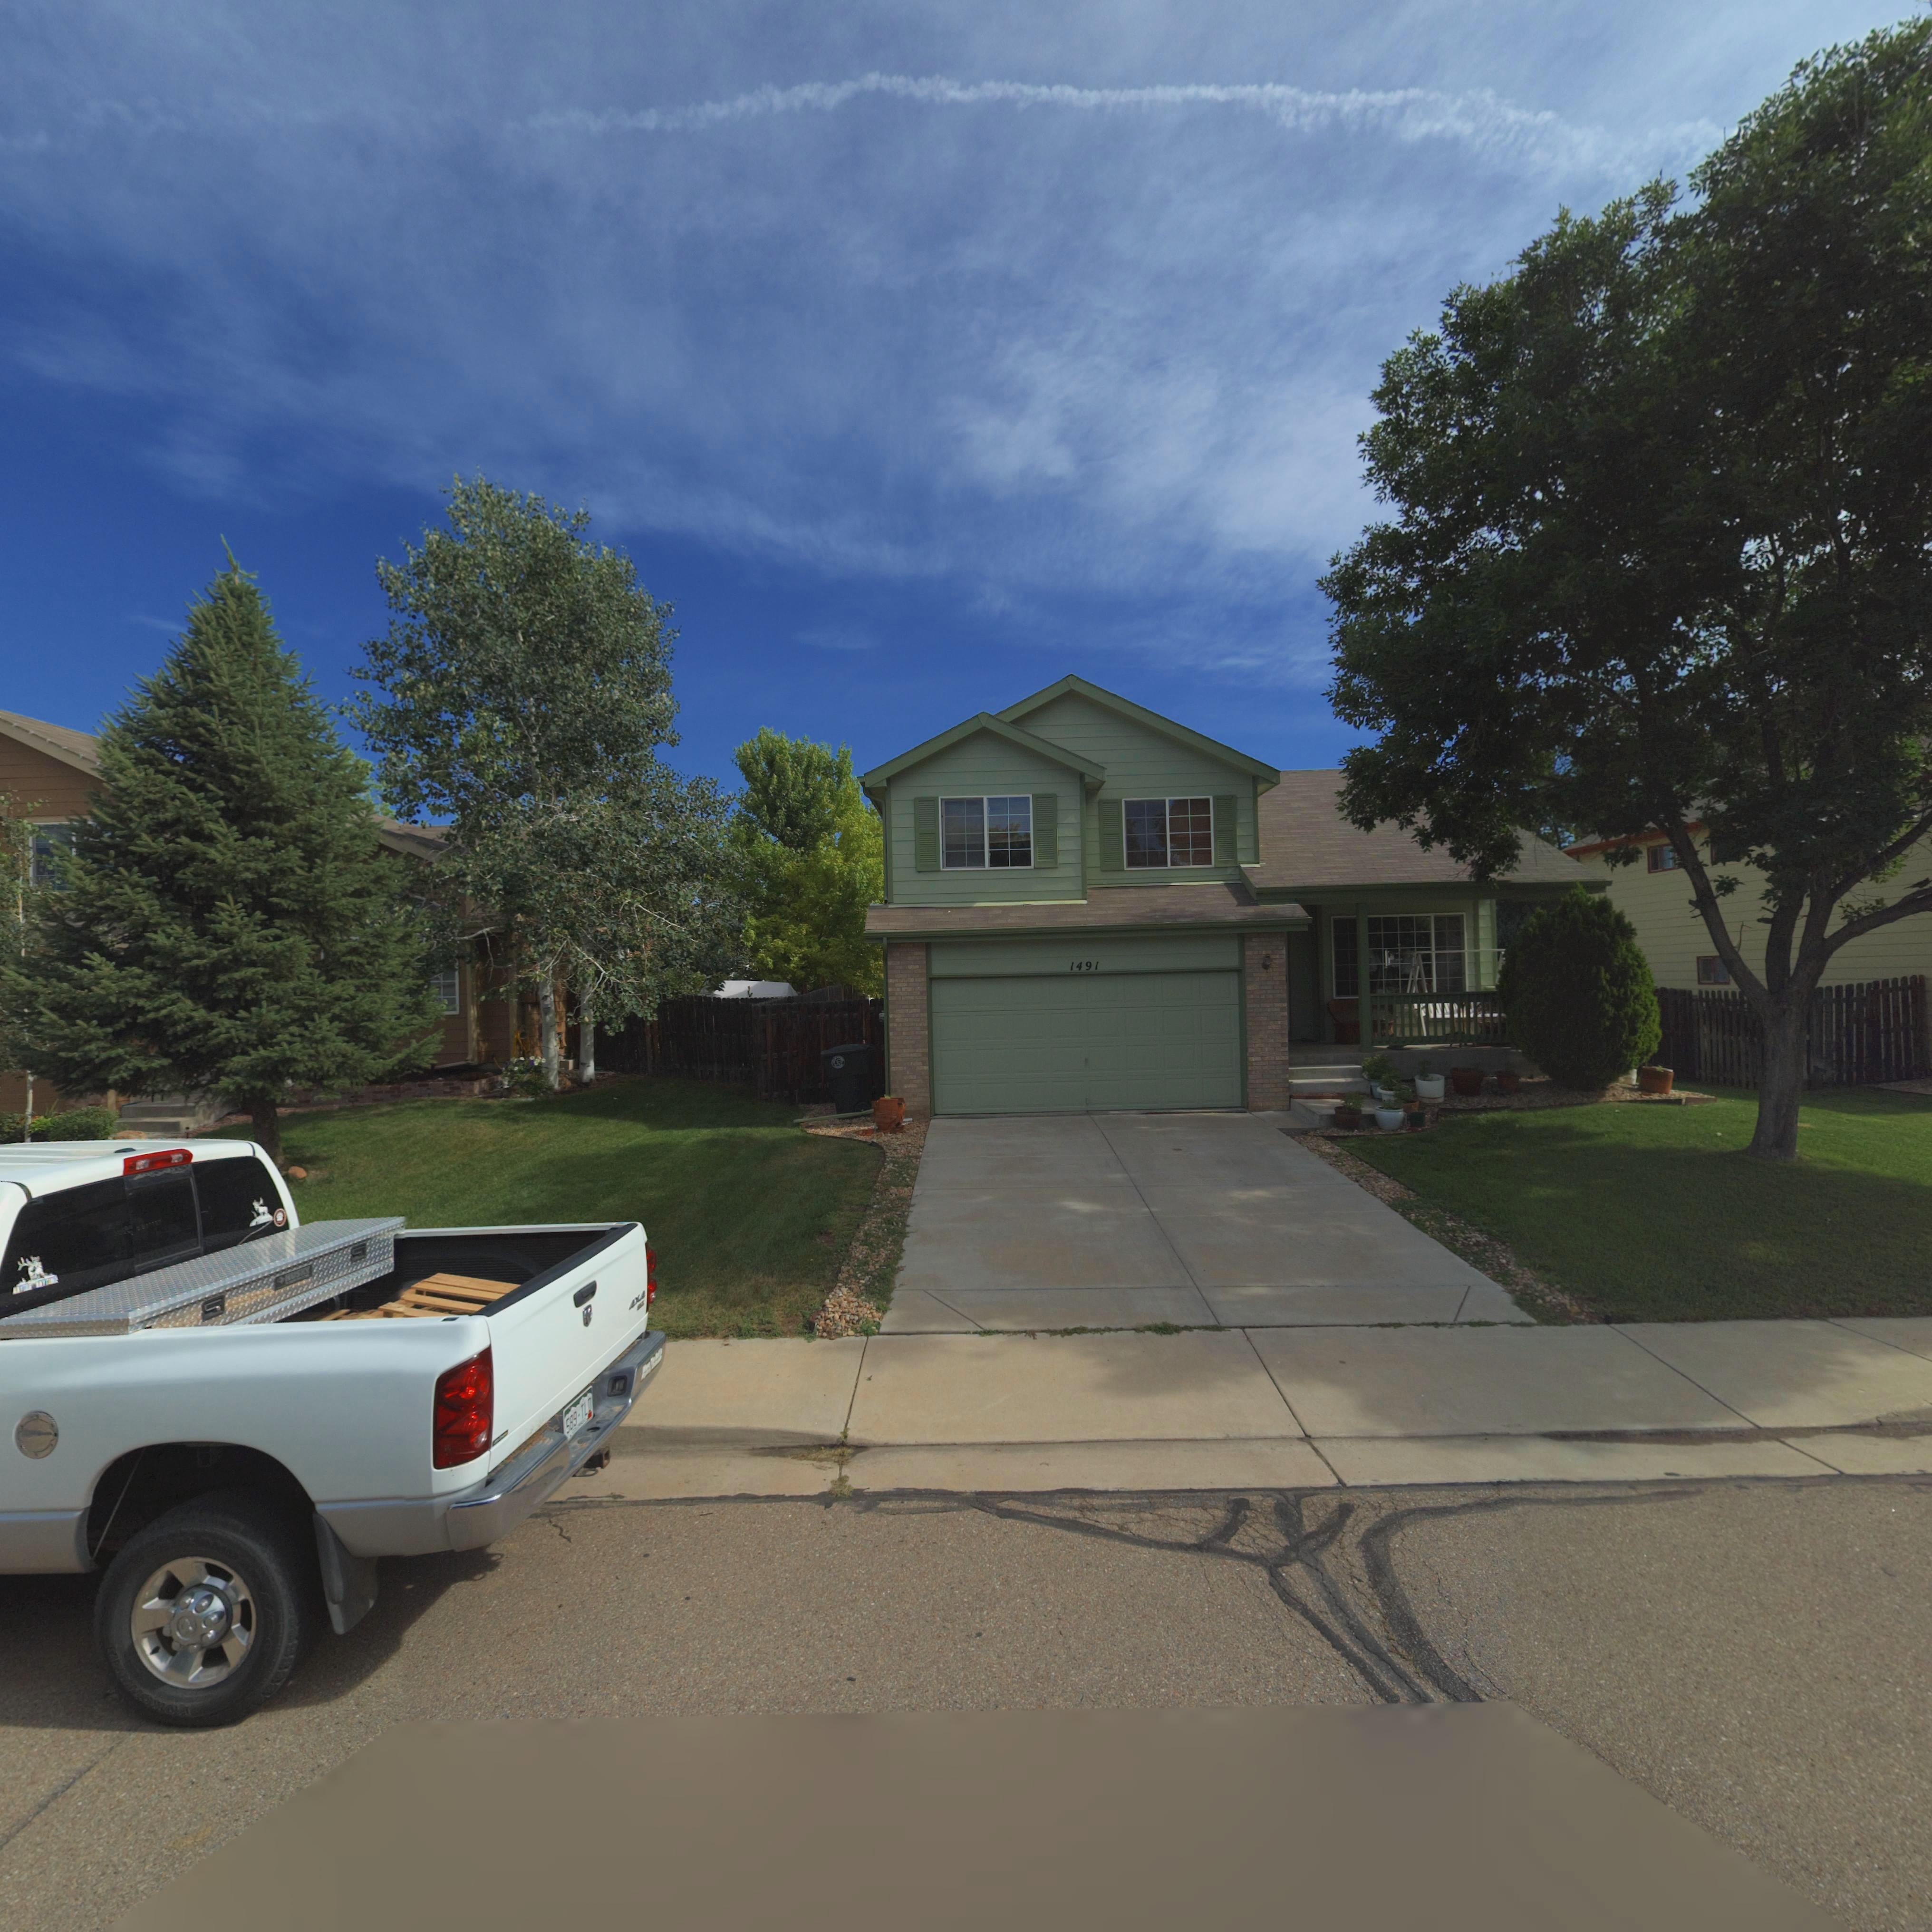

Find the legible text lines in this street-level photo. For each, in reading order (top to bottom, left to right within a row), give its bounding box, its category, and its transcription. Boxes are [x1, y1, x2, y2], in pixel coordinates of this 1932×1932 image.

[1069, 960, 1099, 971] StreetNumber: 1491